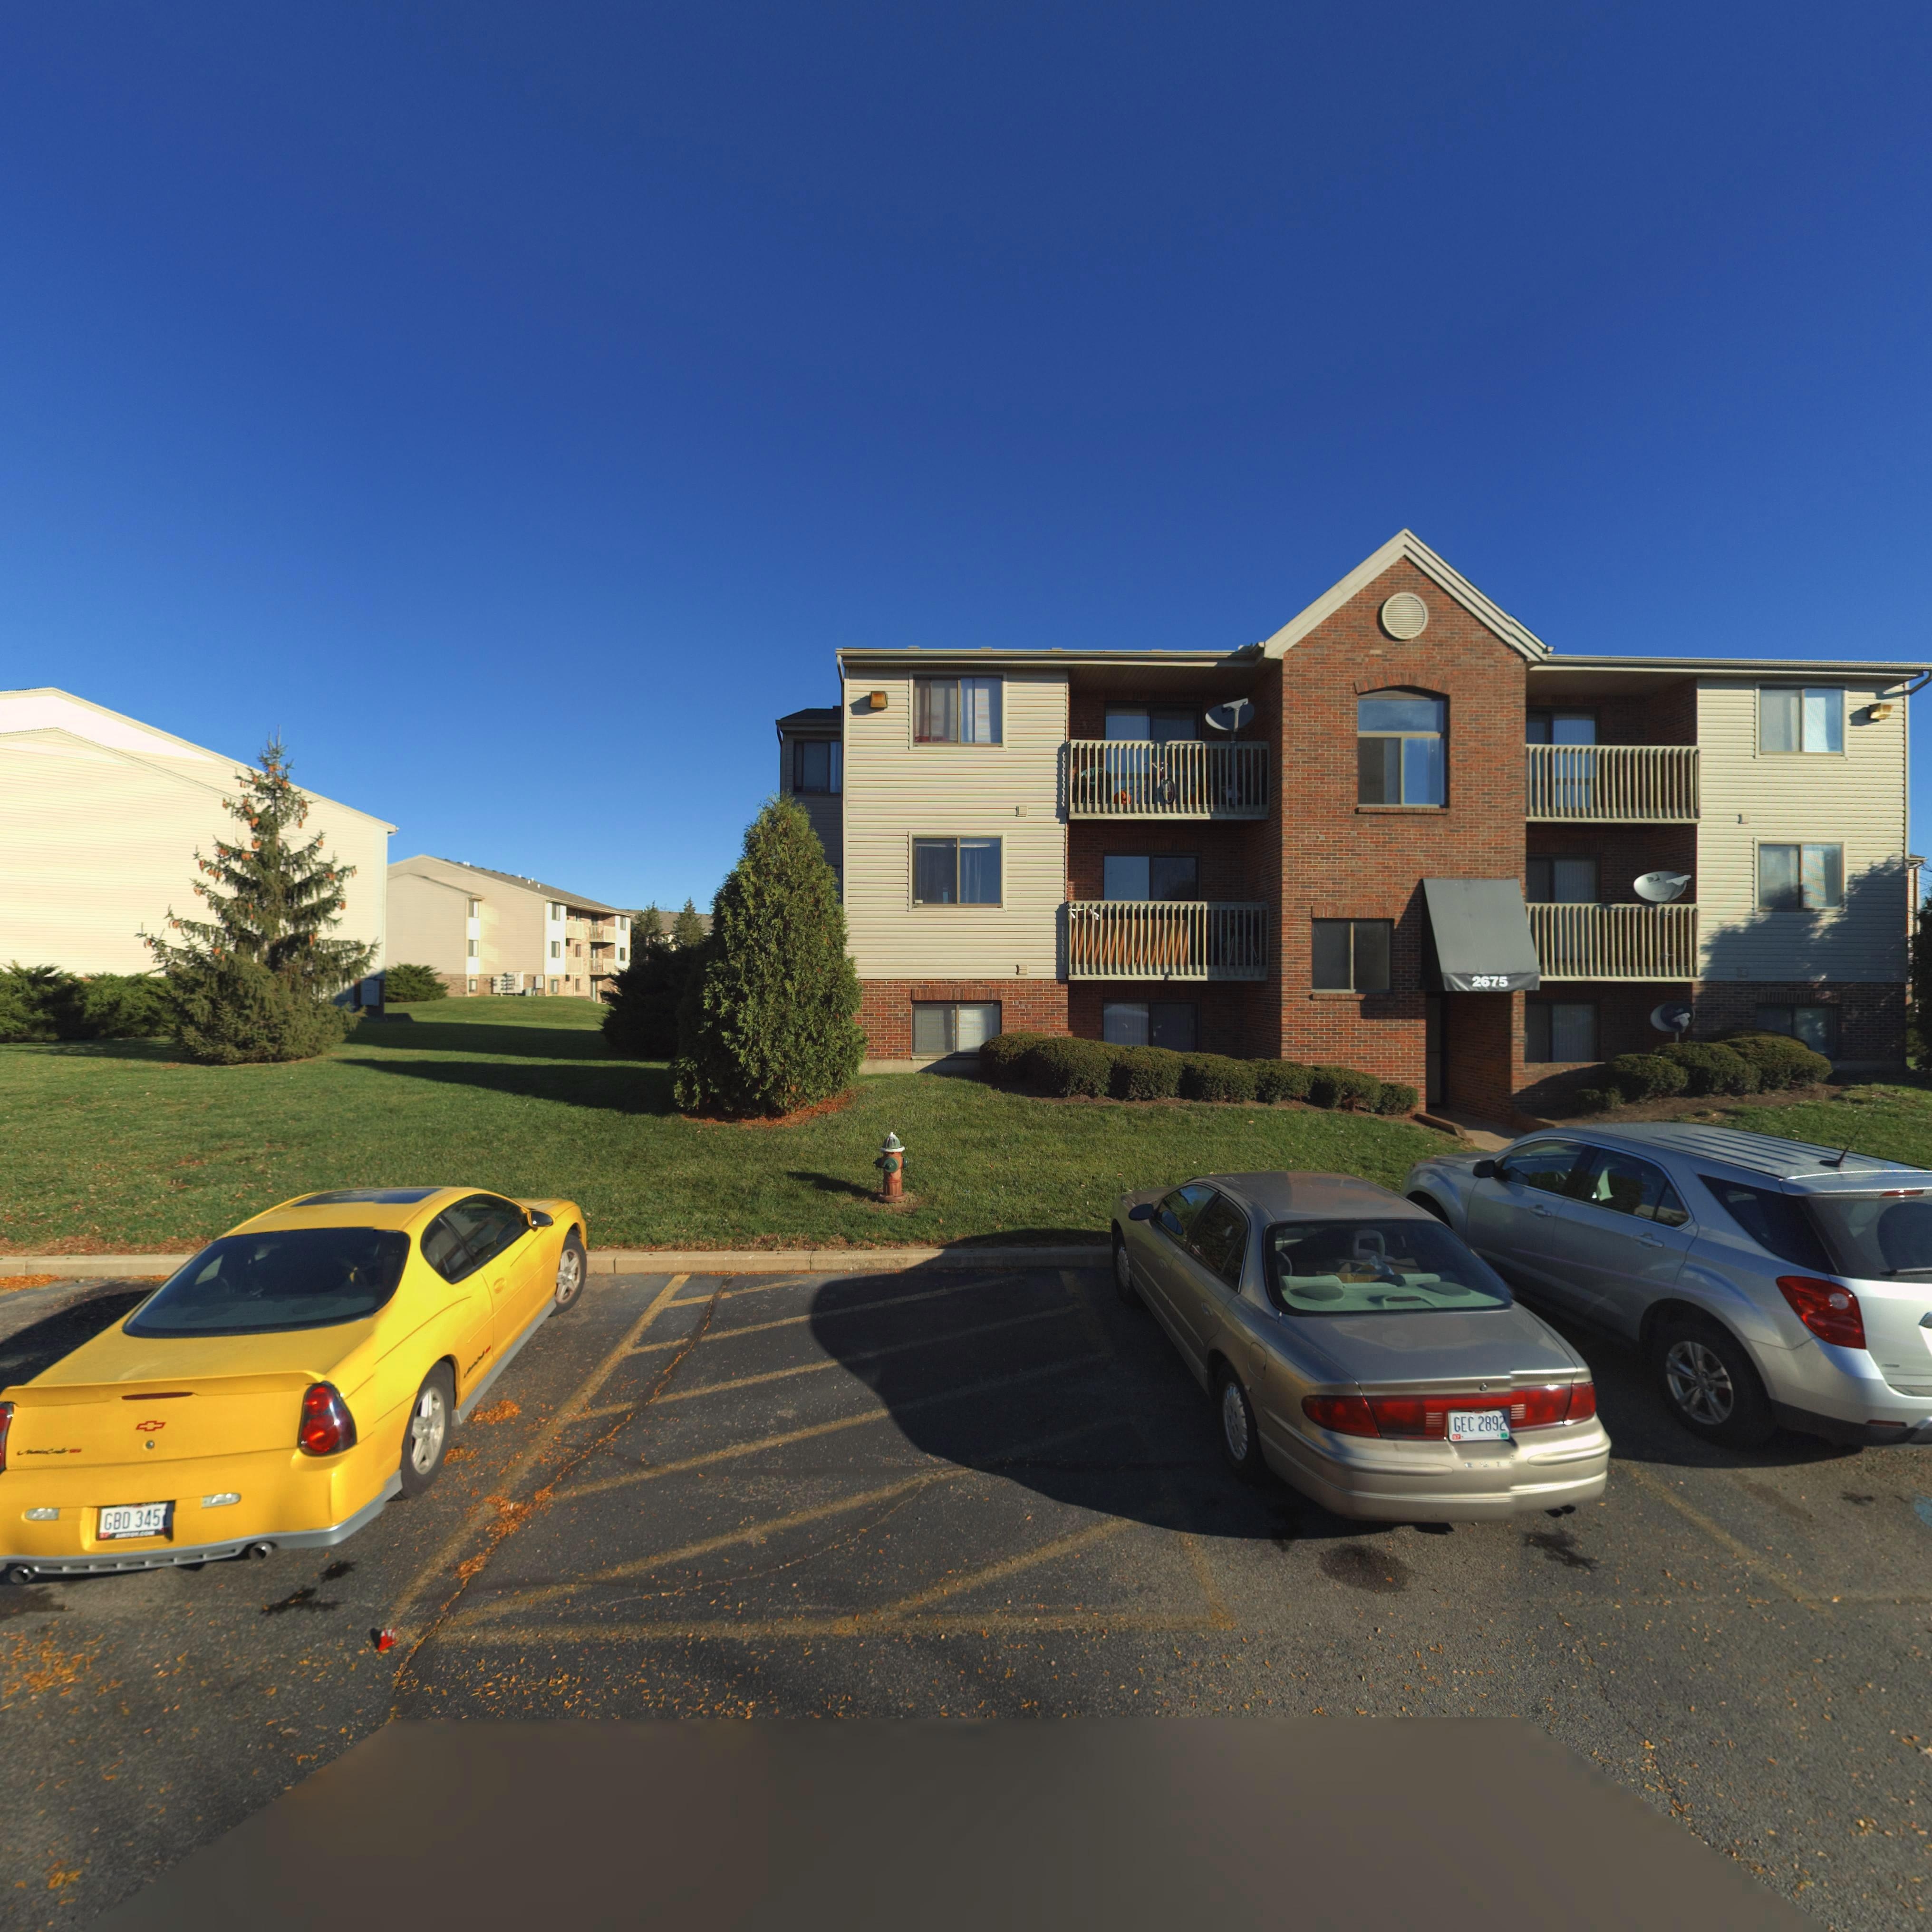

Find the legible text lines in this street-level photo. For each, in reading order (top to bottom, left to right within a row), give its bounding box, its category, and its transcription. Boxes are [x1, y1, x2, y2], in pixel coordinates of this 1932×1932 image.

[1471, 975, 1509, 988] StreetNumber: 2675